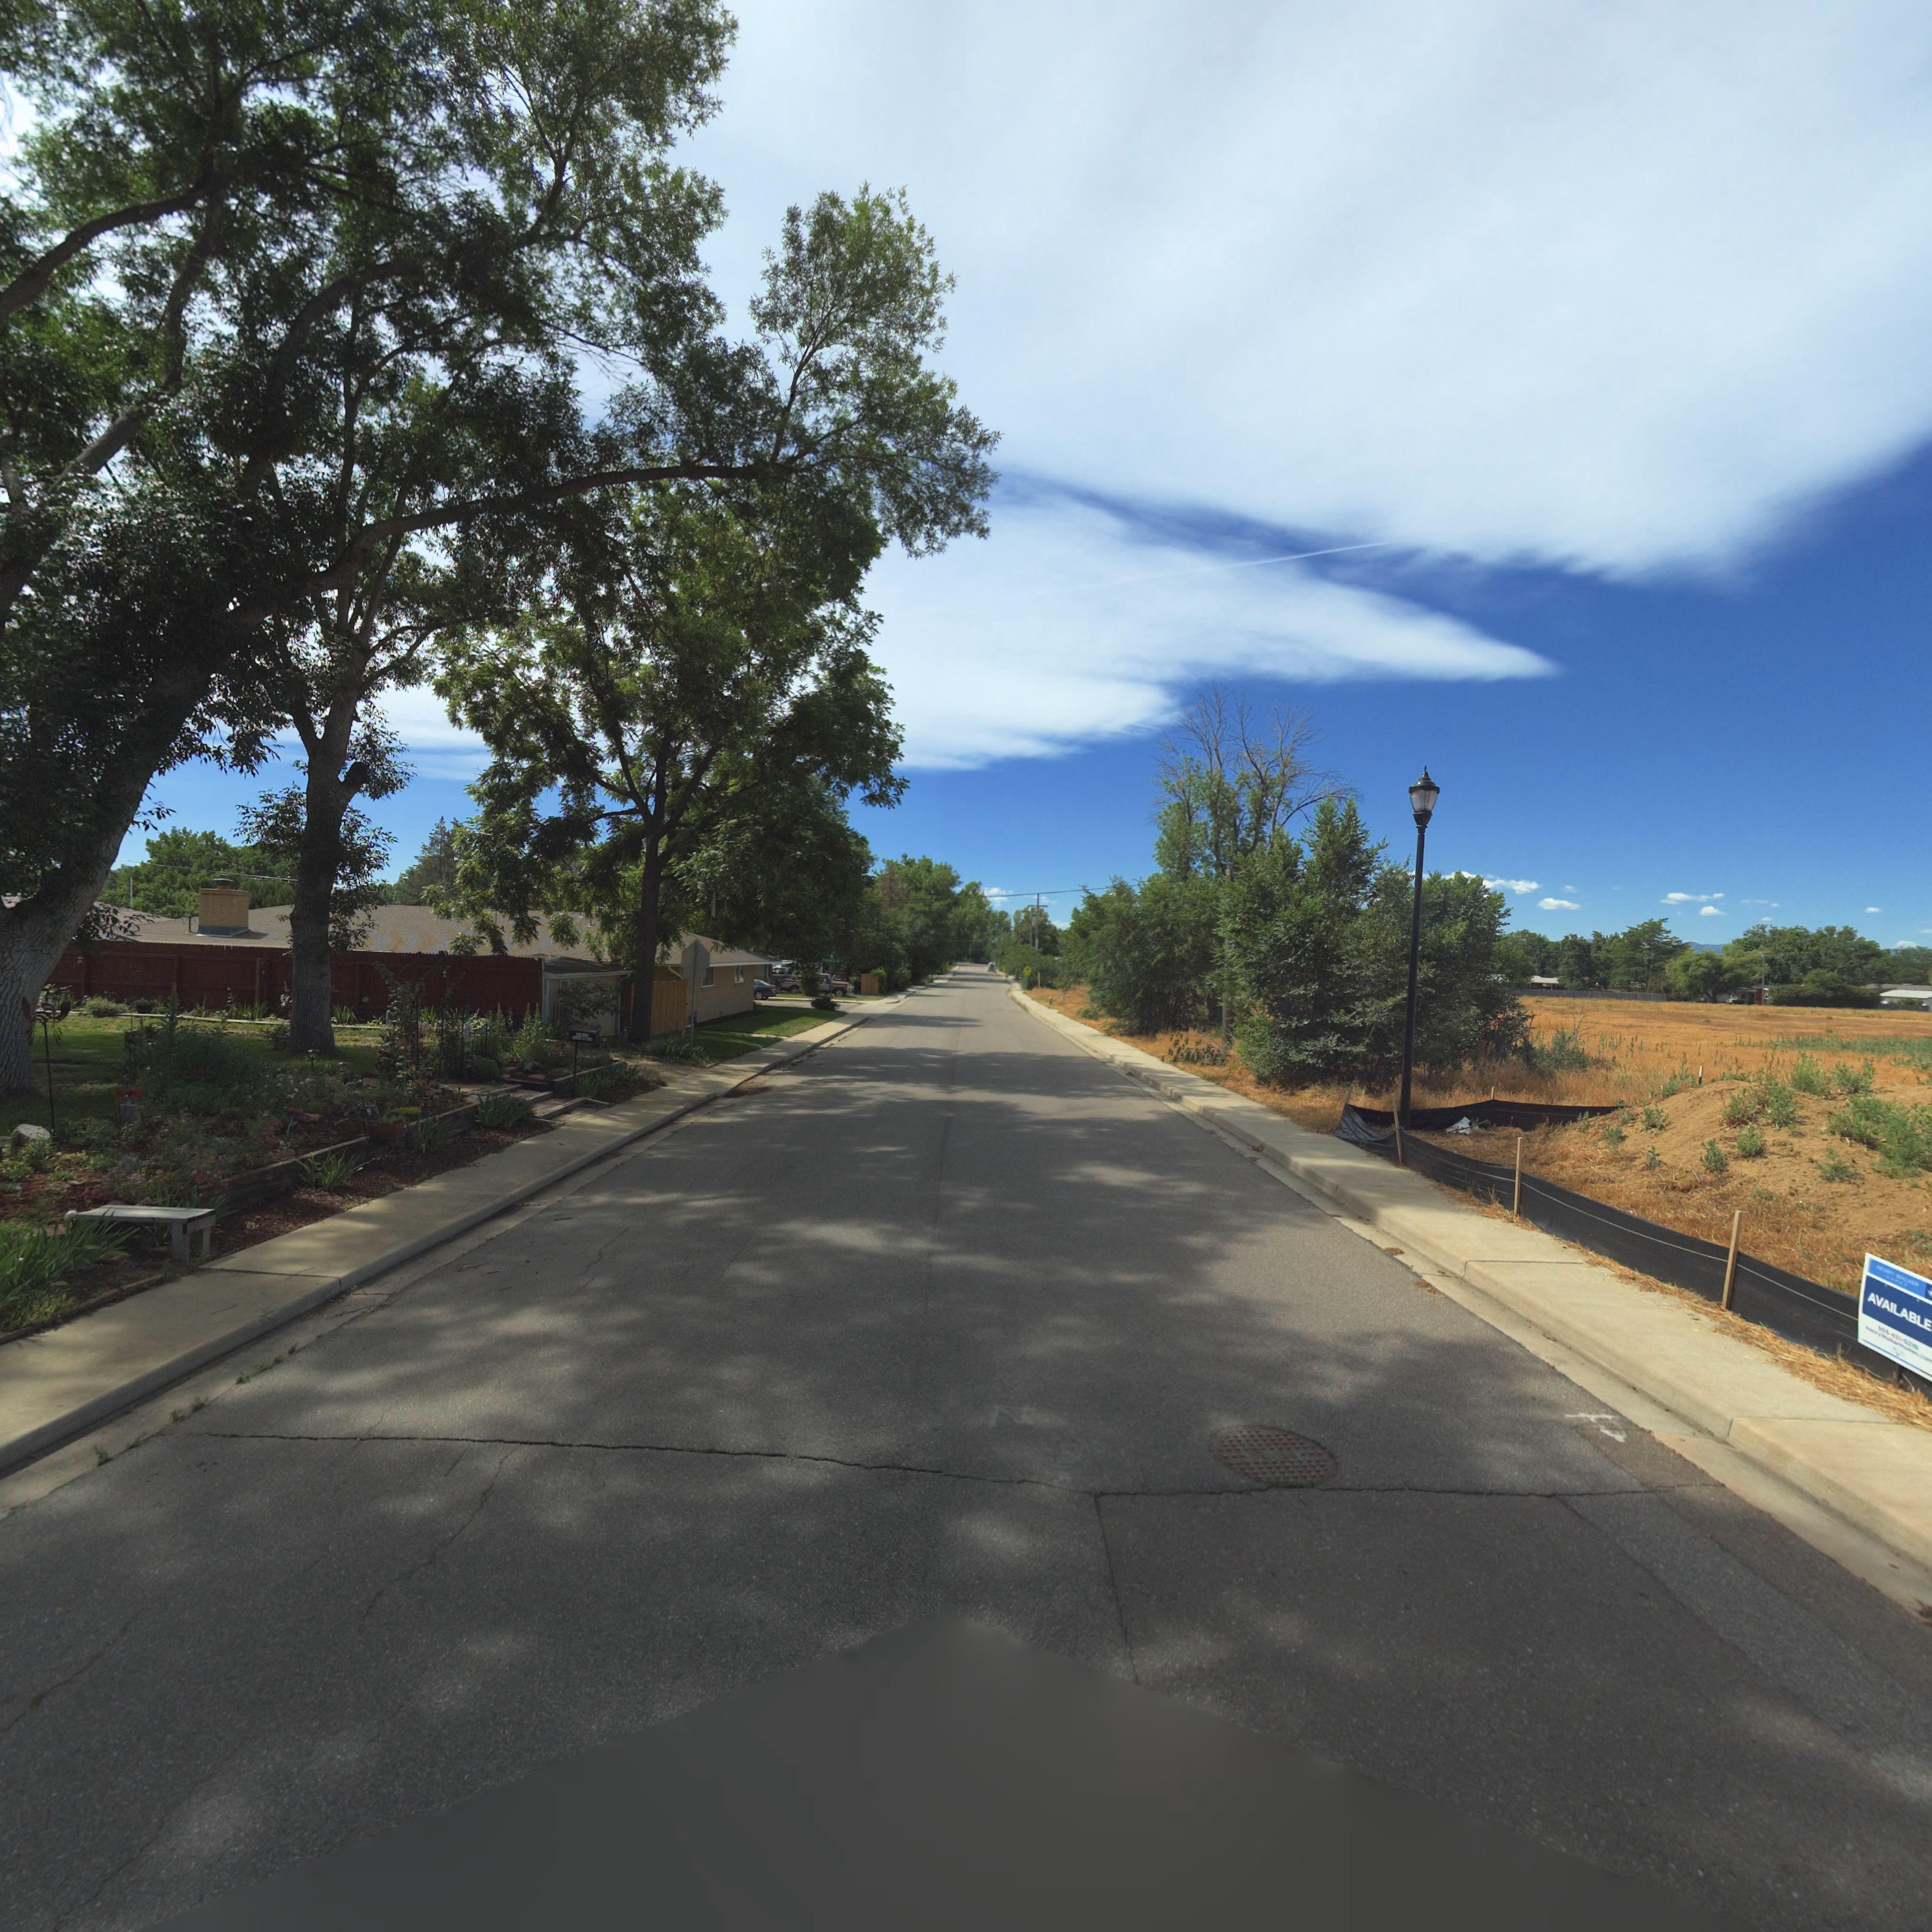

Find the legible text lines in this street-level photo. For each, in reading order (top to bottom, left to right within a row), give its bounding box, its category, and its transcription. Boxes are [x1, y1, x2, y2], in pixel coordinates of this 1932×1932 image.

[822, 958, 841, 963] StreetName: FORBES *L